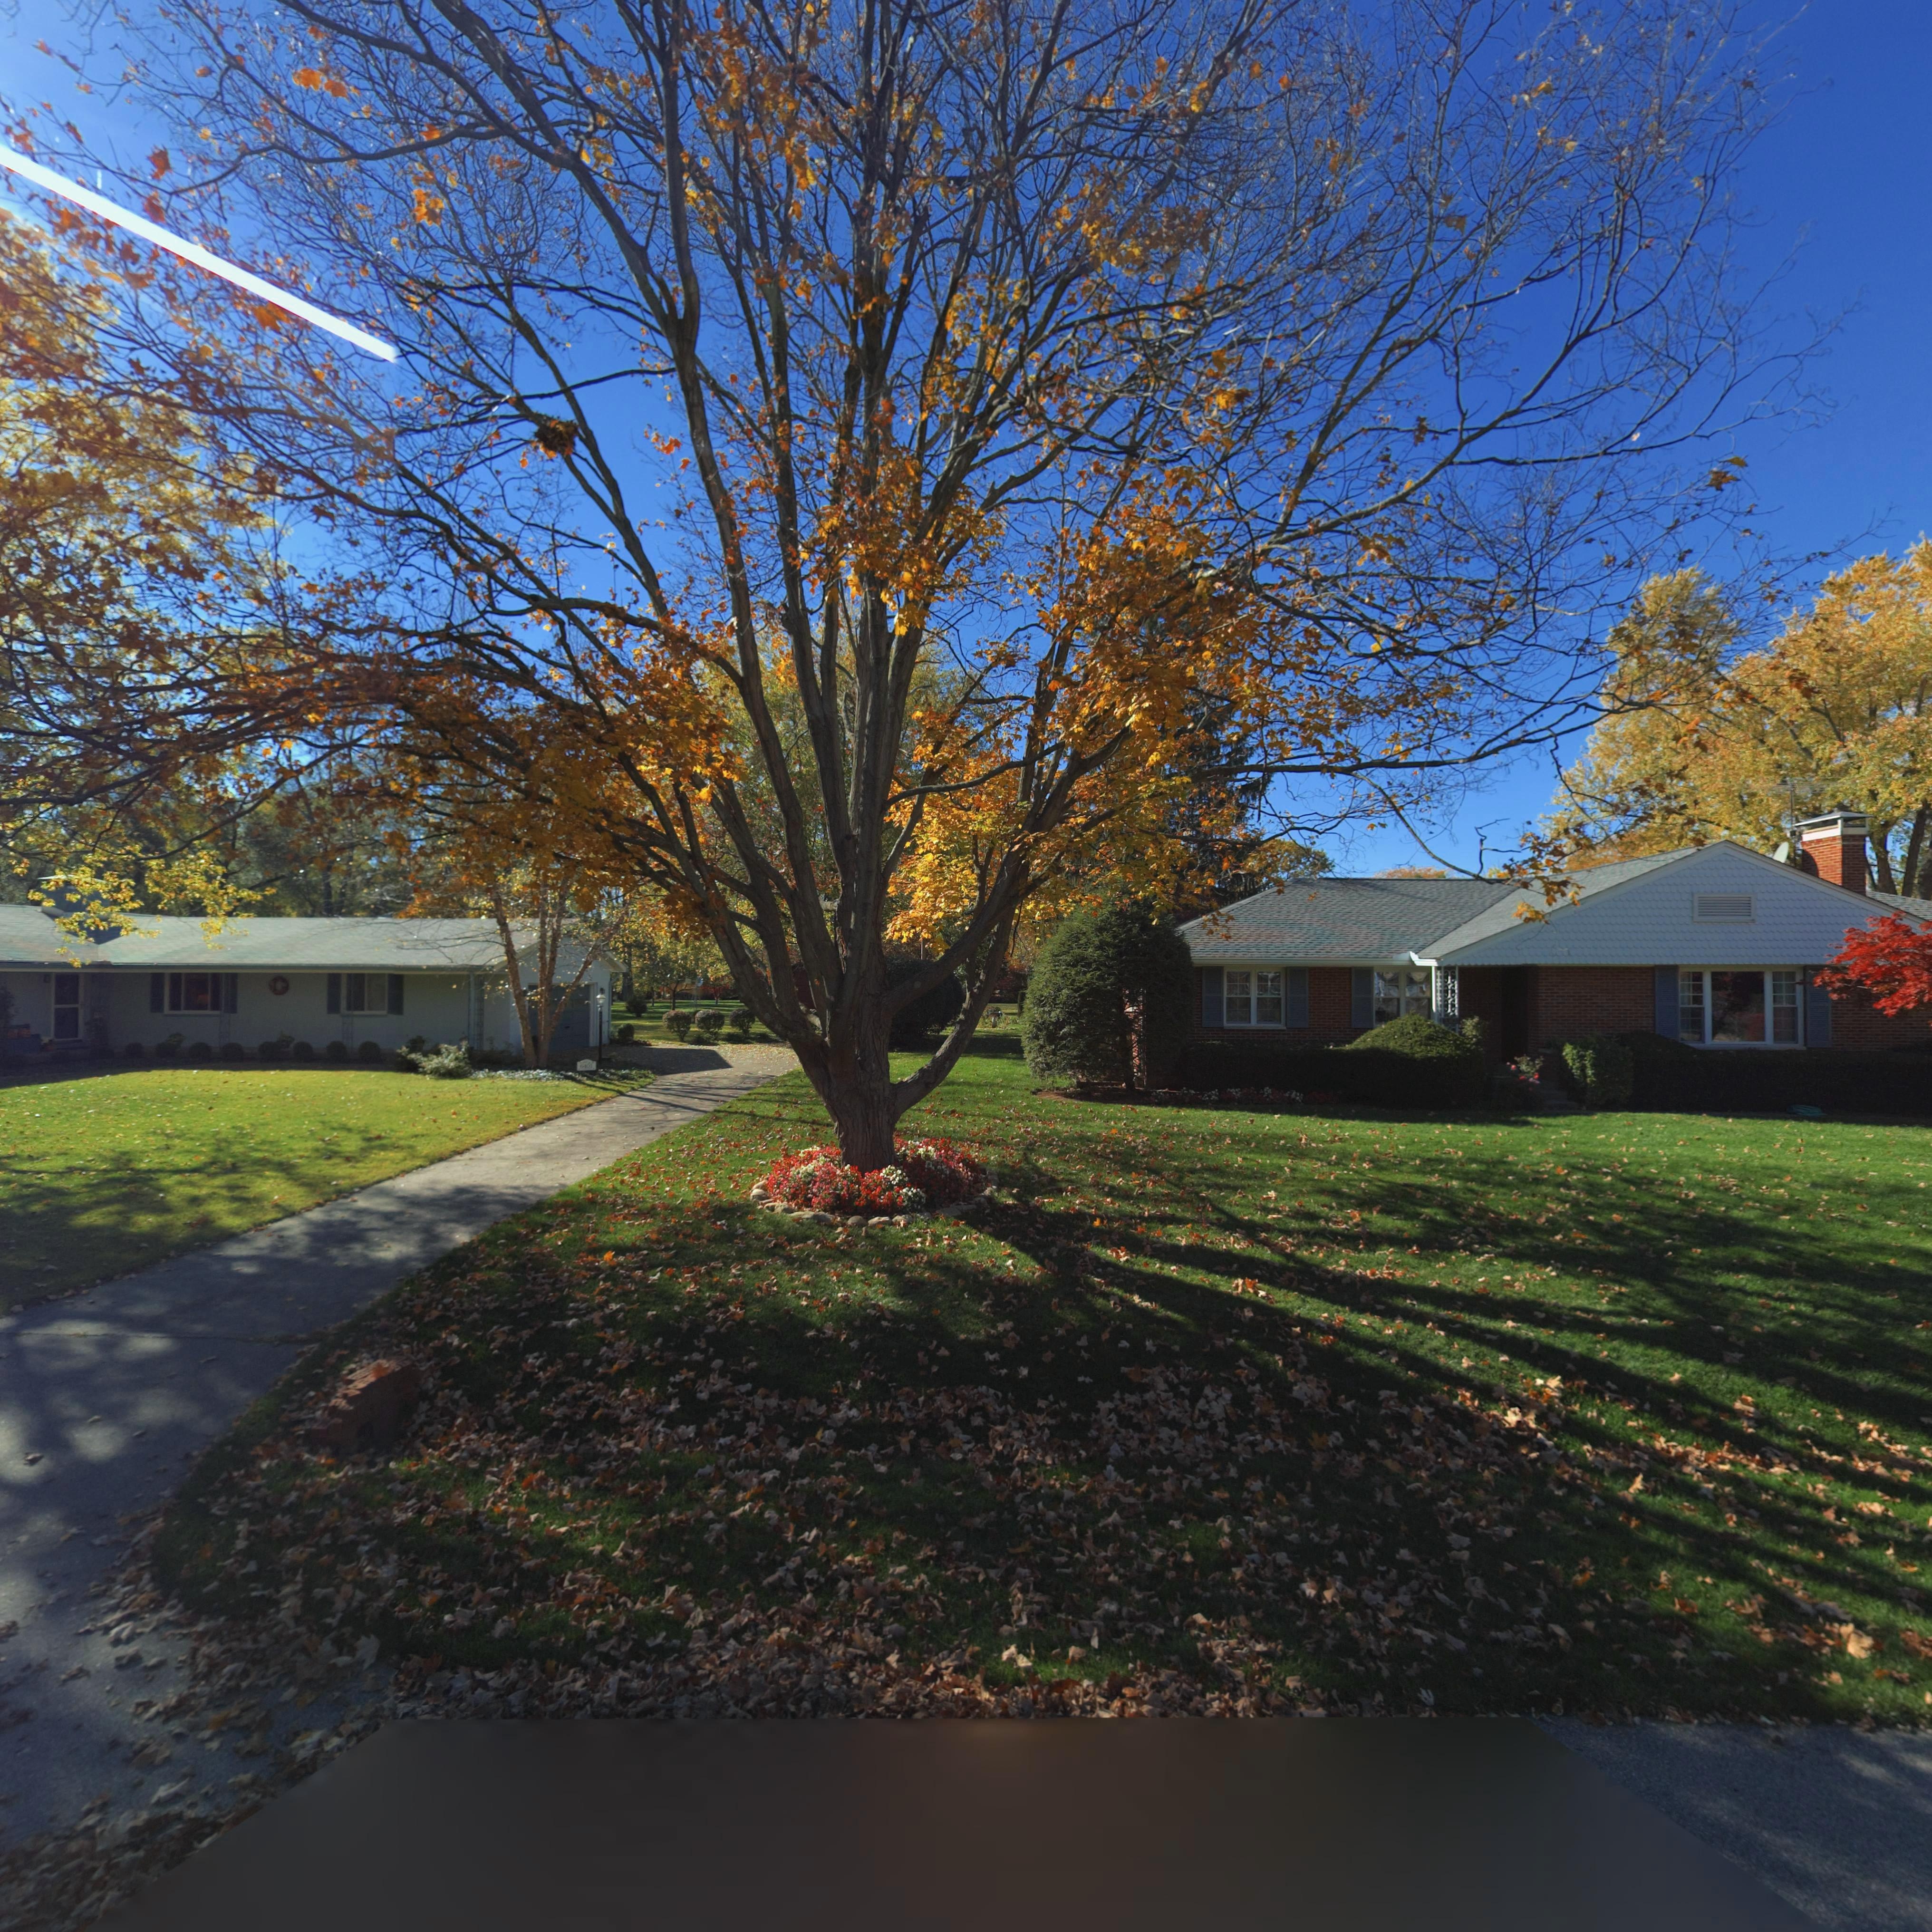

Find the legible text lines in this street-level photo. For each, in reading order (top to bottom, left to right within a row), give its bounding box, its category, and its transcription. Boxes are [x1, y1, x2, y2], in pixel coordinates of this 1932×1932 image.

[579, 1063, 593, 1069] StreetNumber: 6401